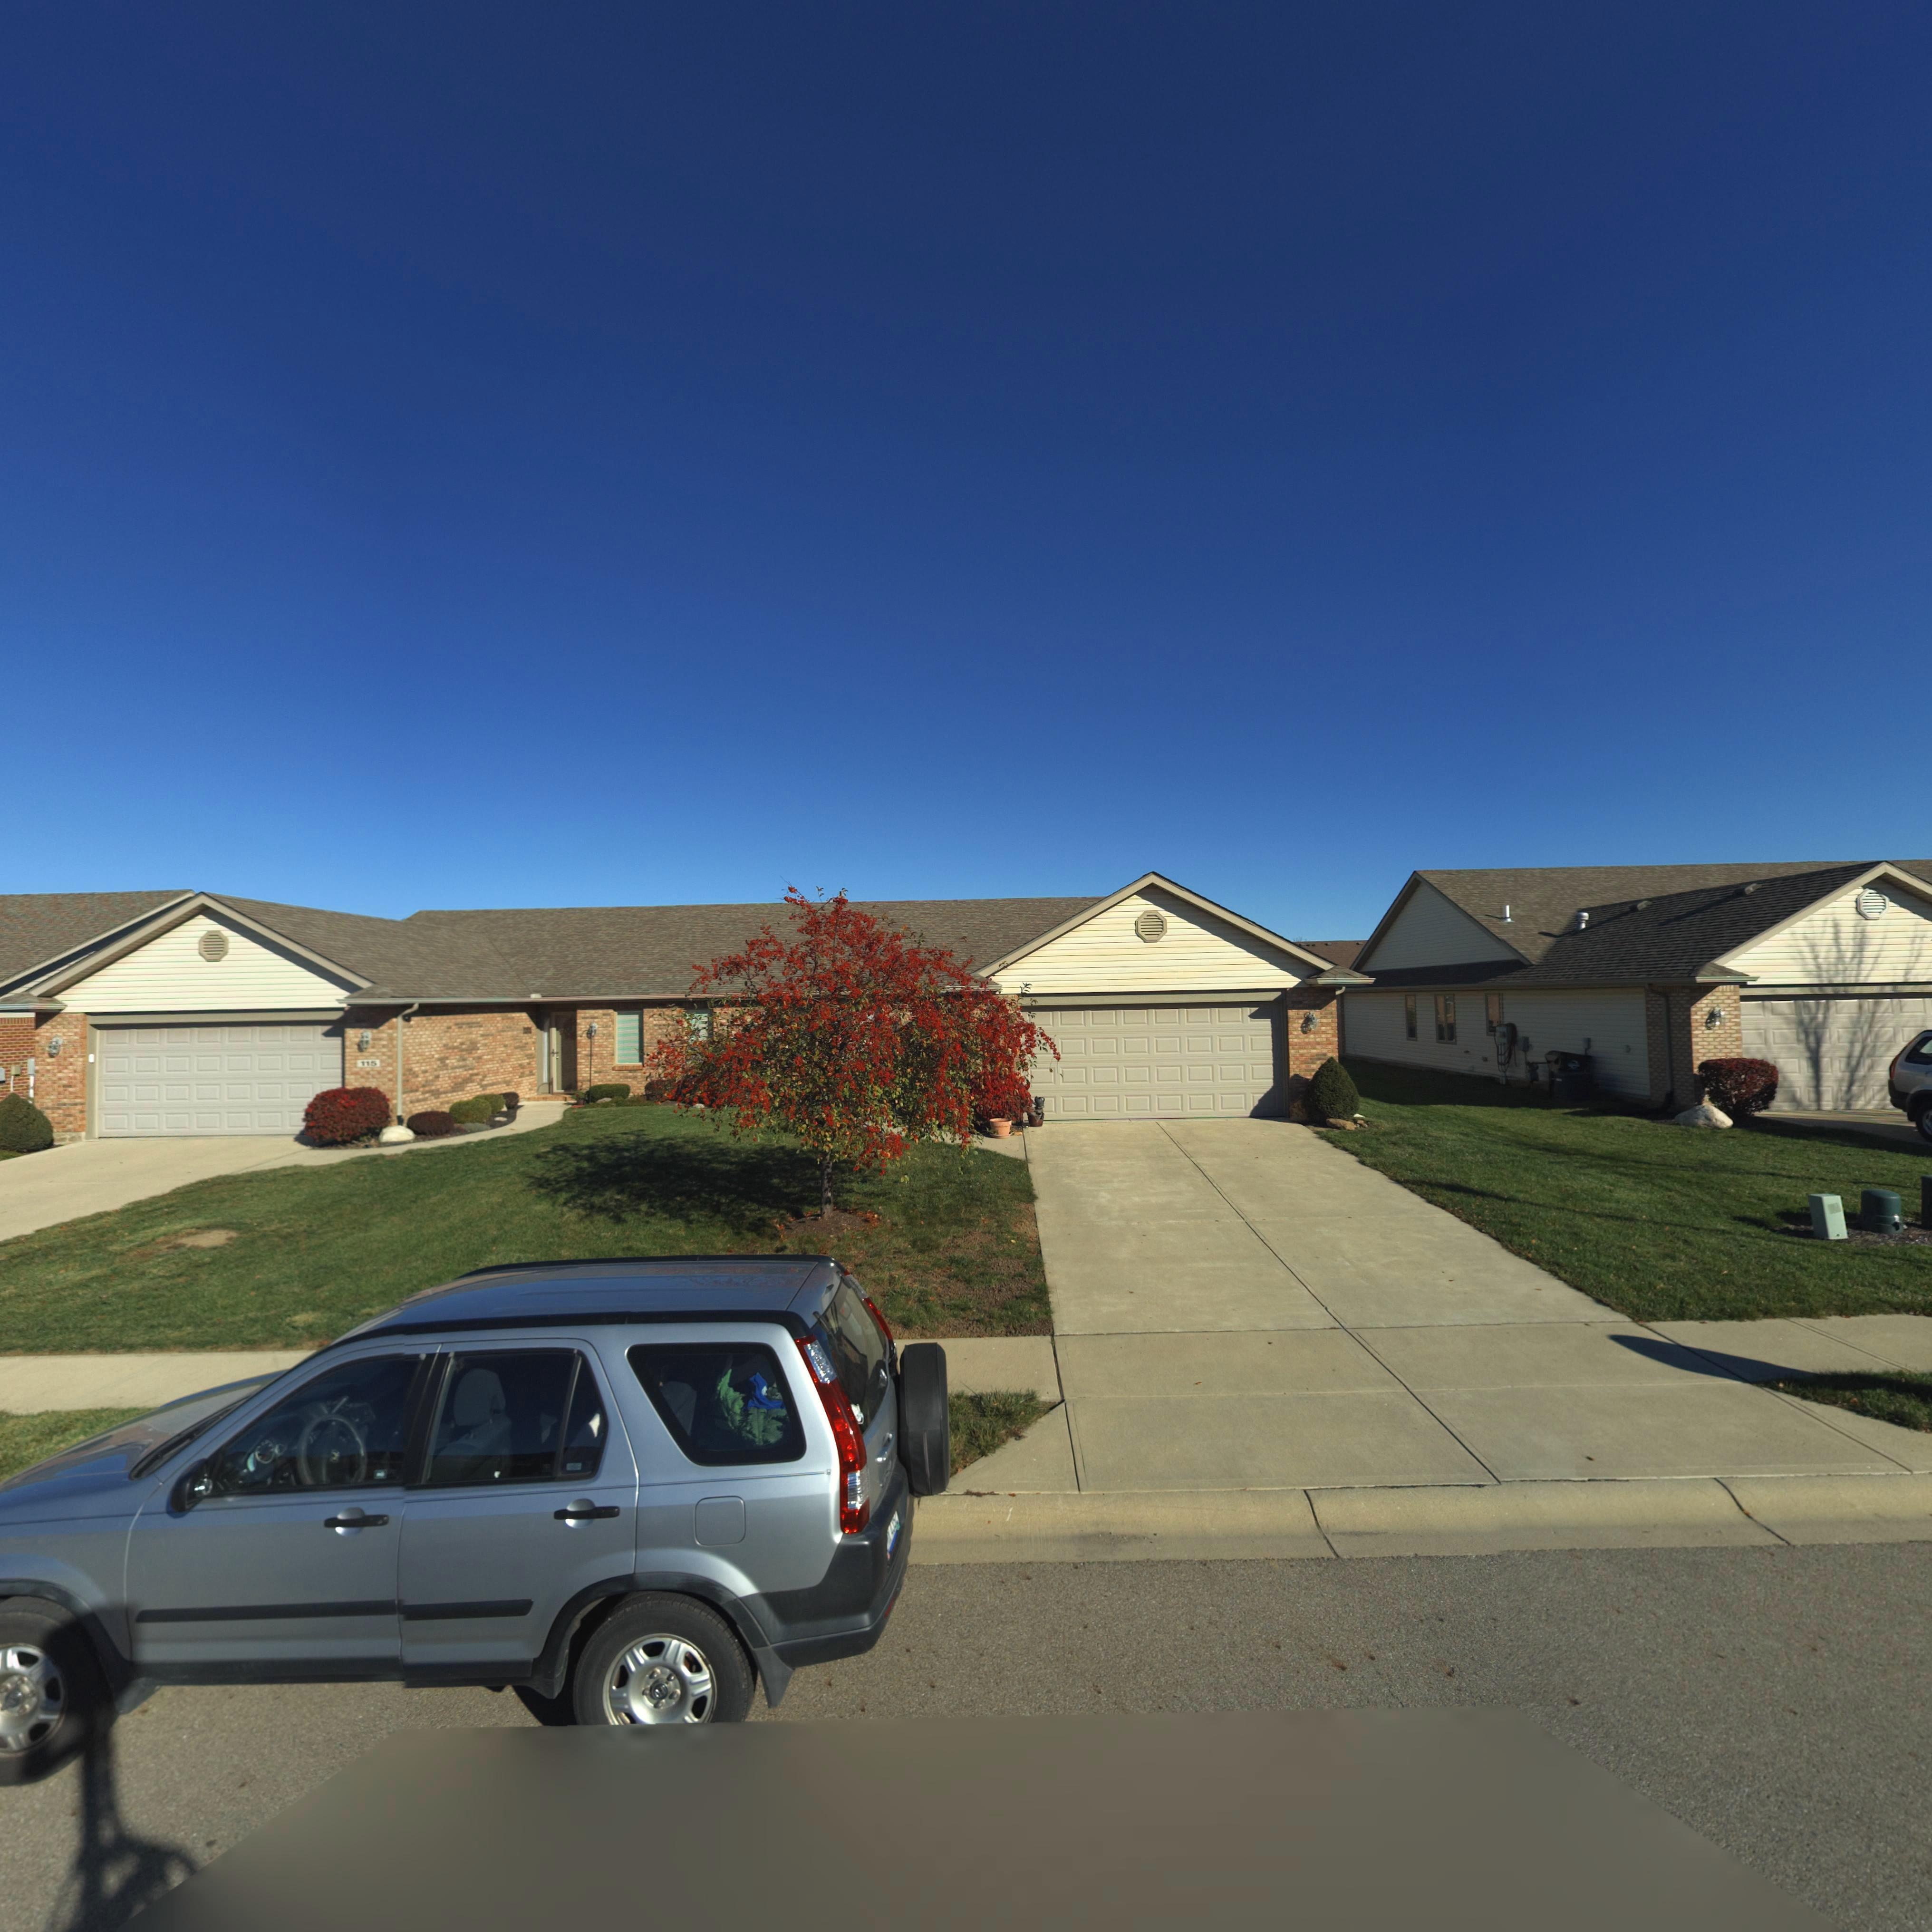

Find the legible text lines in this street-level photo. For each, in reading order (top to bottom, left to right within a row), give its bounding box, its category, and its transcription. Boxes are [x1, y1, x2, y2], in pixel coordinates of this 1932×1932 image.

[360, 1060, 377, 1067] StreetNumber: 115